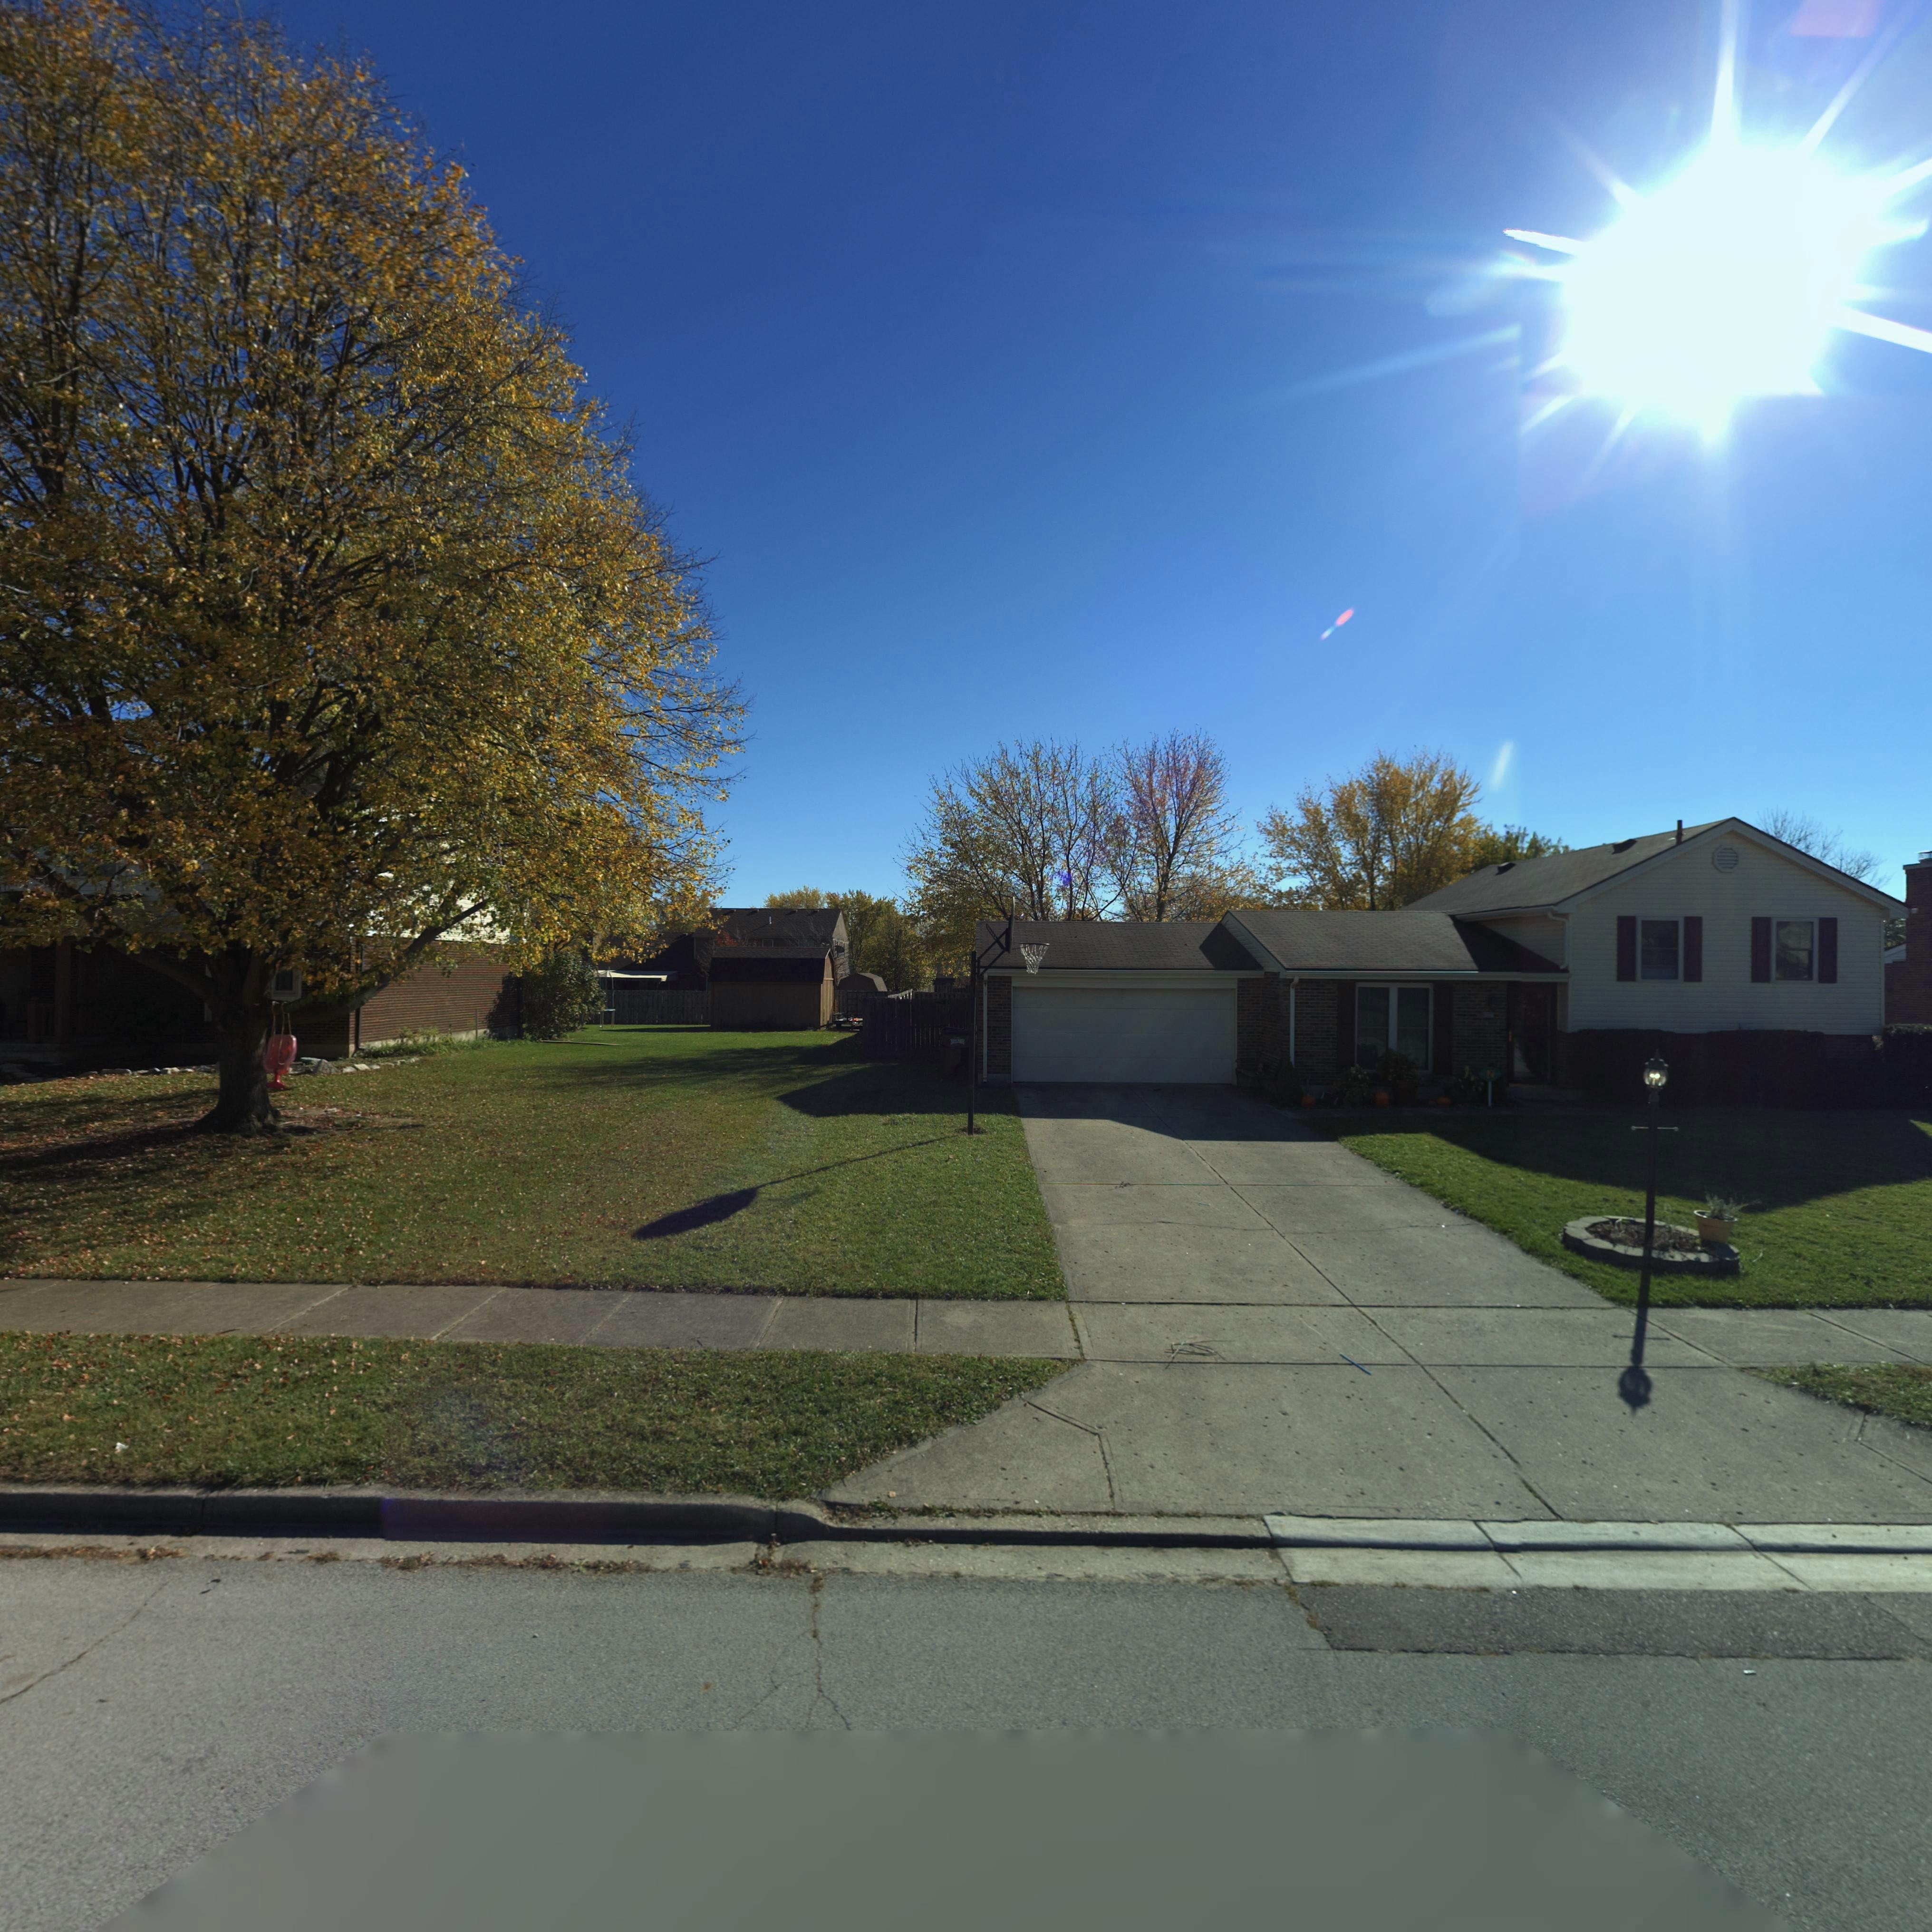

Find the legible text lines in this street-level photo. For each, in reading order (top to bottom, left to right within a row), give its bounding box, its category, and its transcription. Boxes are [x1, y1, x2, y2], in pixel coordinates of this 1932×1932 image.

[1483, 1012, 1494, 1018] StreetNumber: 42**